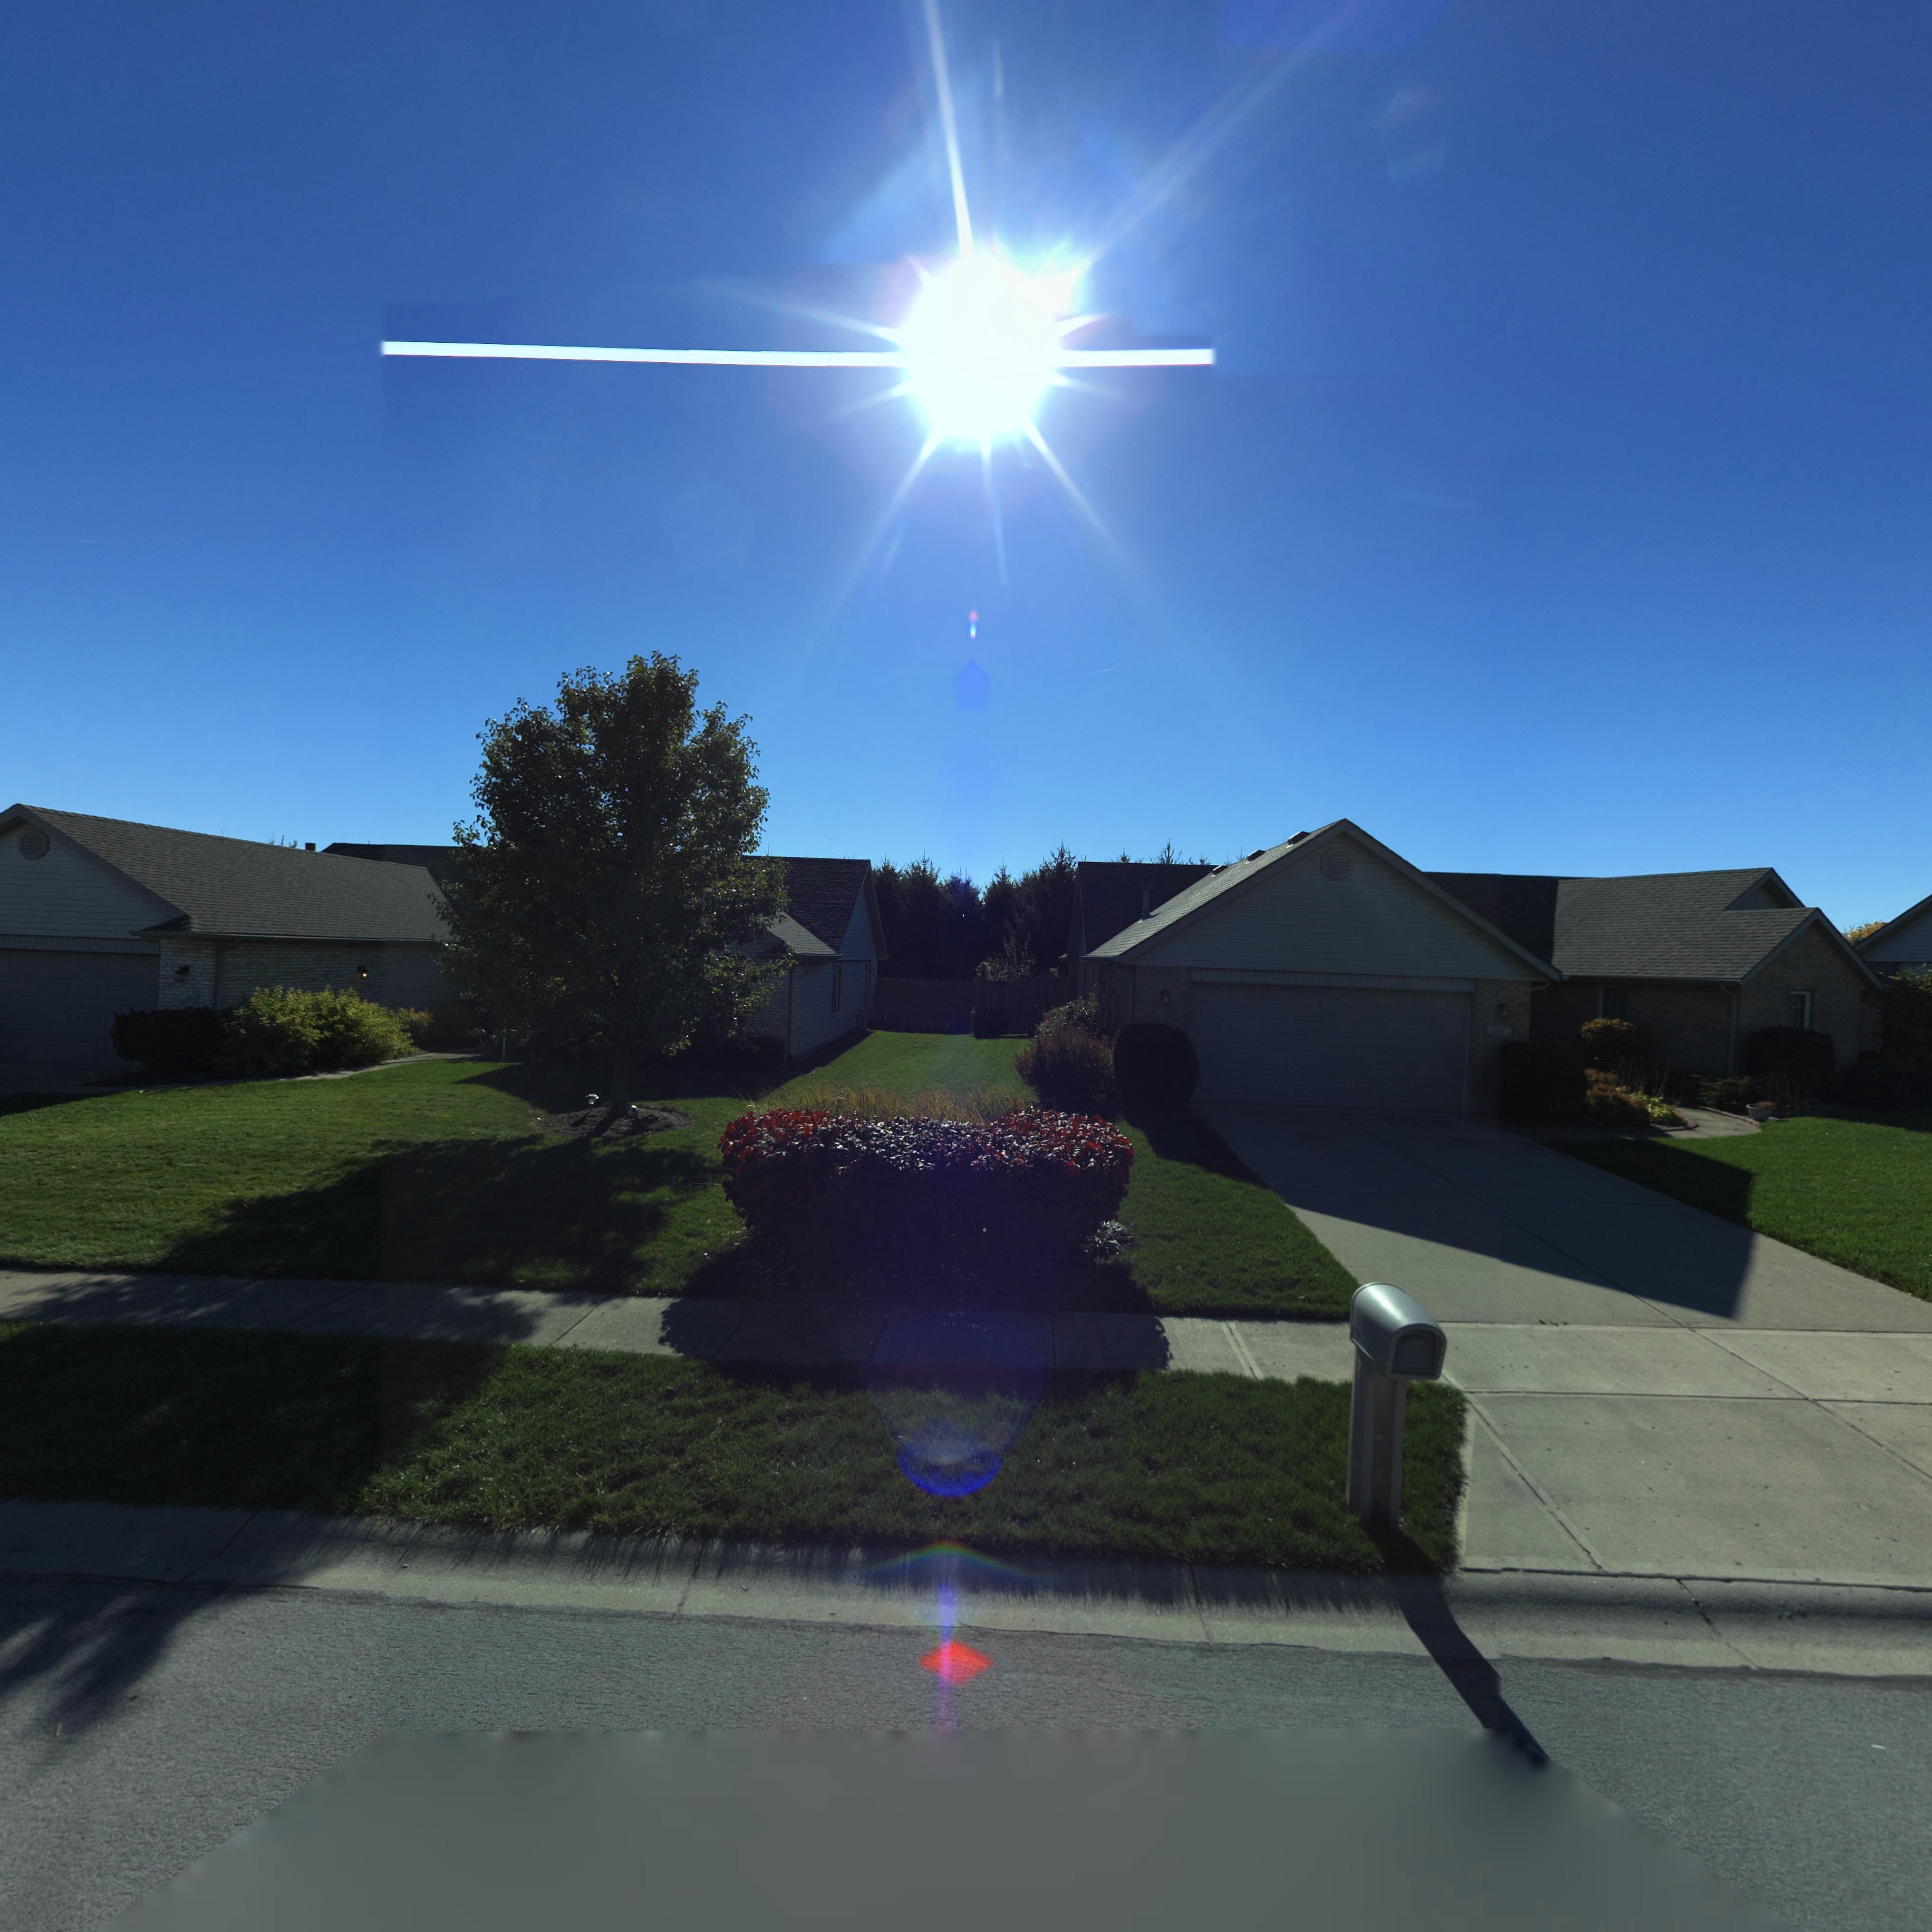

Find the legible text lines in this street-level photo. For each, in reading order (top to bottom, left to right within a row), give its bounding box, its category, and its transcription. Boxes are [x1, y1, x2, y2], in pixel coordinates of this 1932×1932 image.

[177, 1000, 188, 1006] StreetNumber: 14*